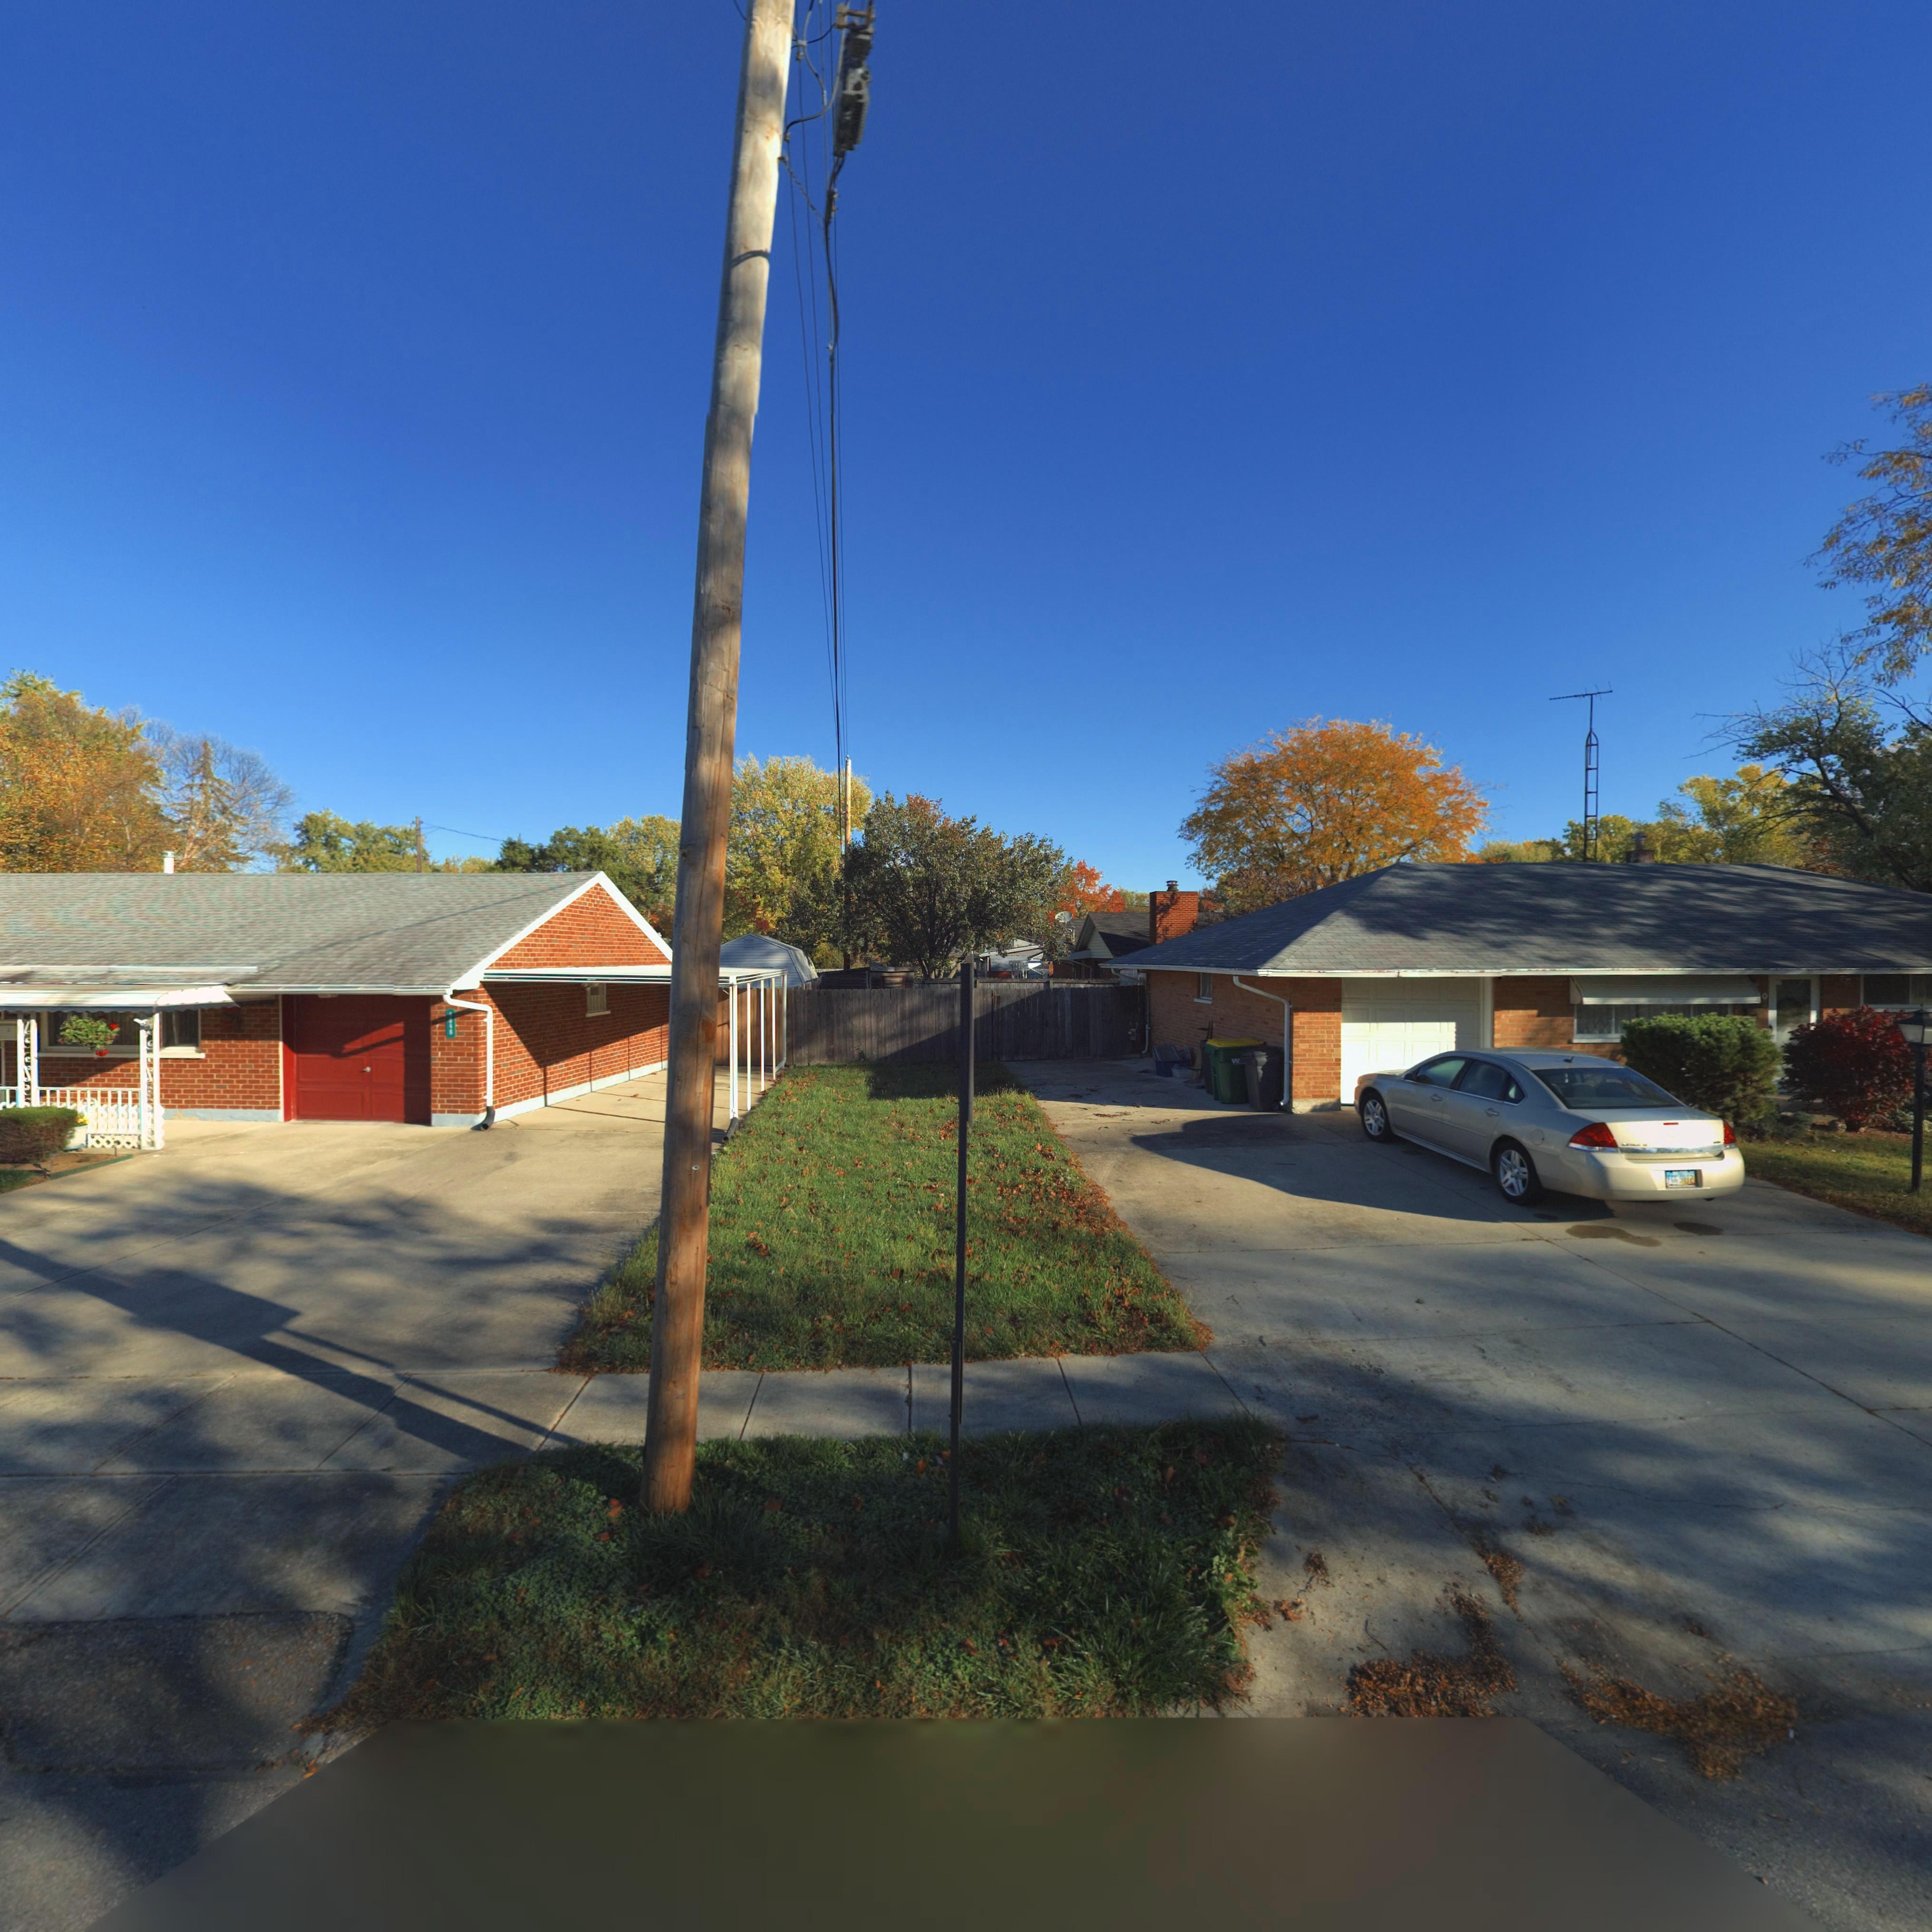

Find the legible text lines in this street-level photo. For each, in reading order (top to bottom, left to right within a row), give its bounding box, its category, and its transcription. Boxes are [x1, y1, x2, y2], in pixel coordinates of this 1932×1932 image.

[448, 1010, 453, 1034] StreetNumber: 4846